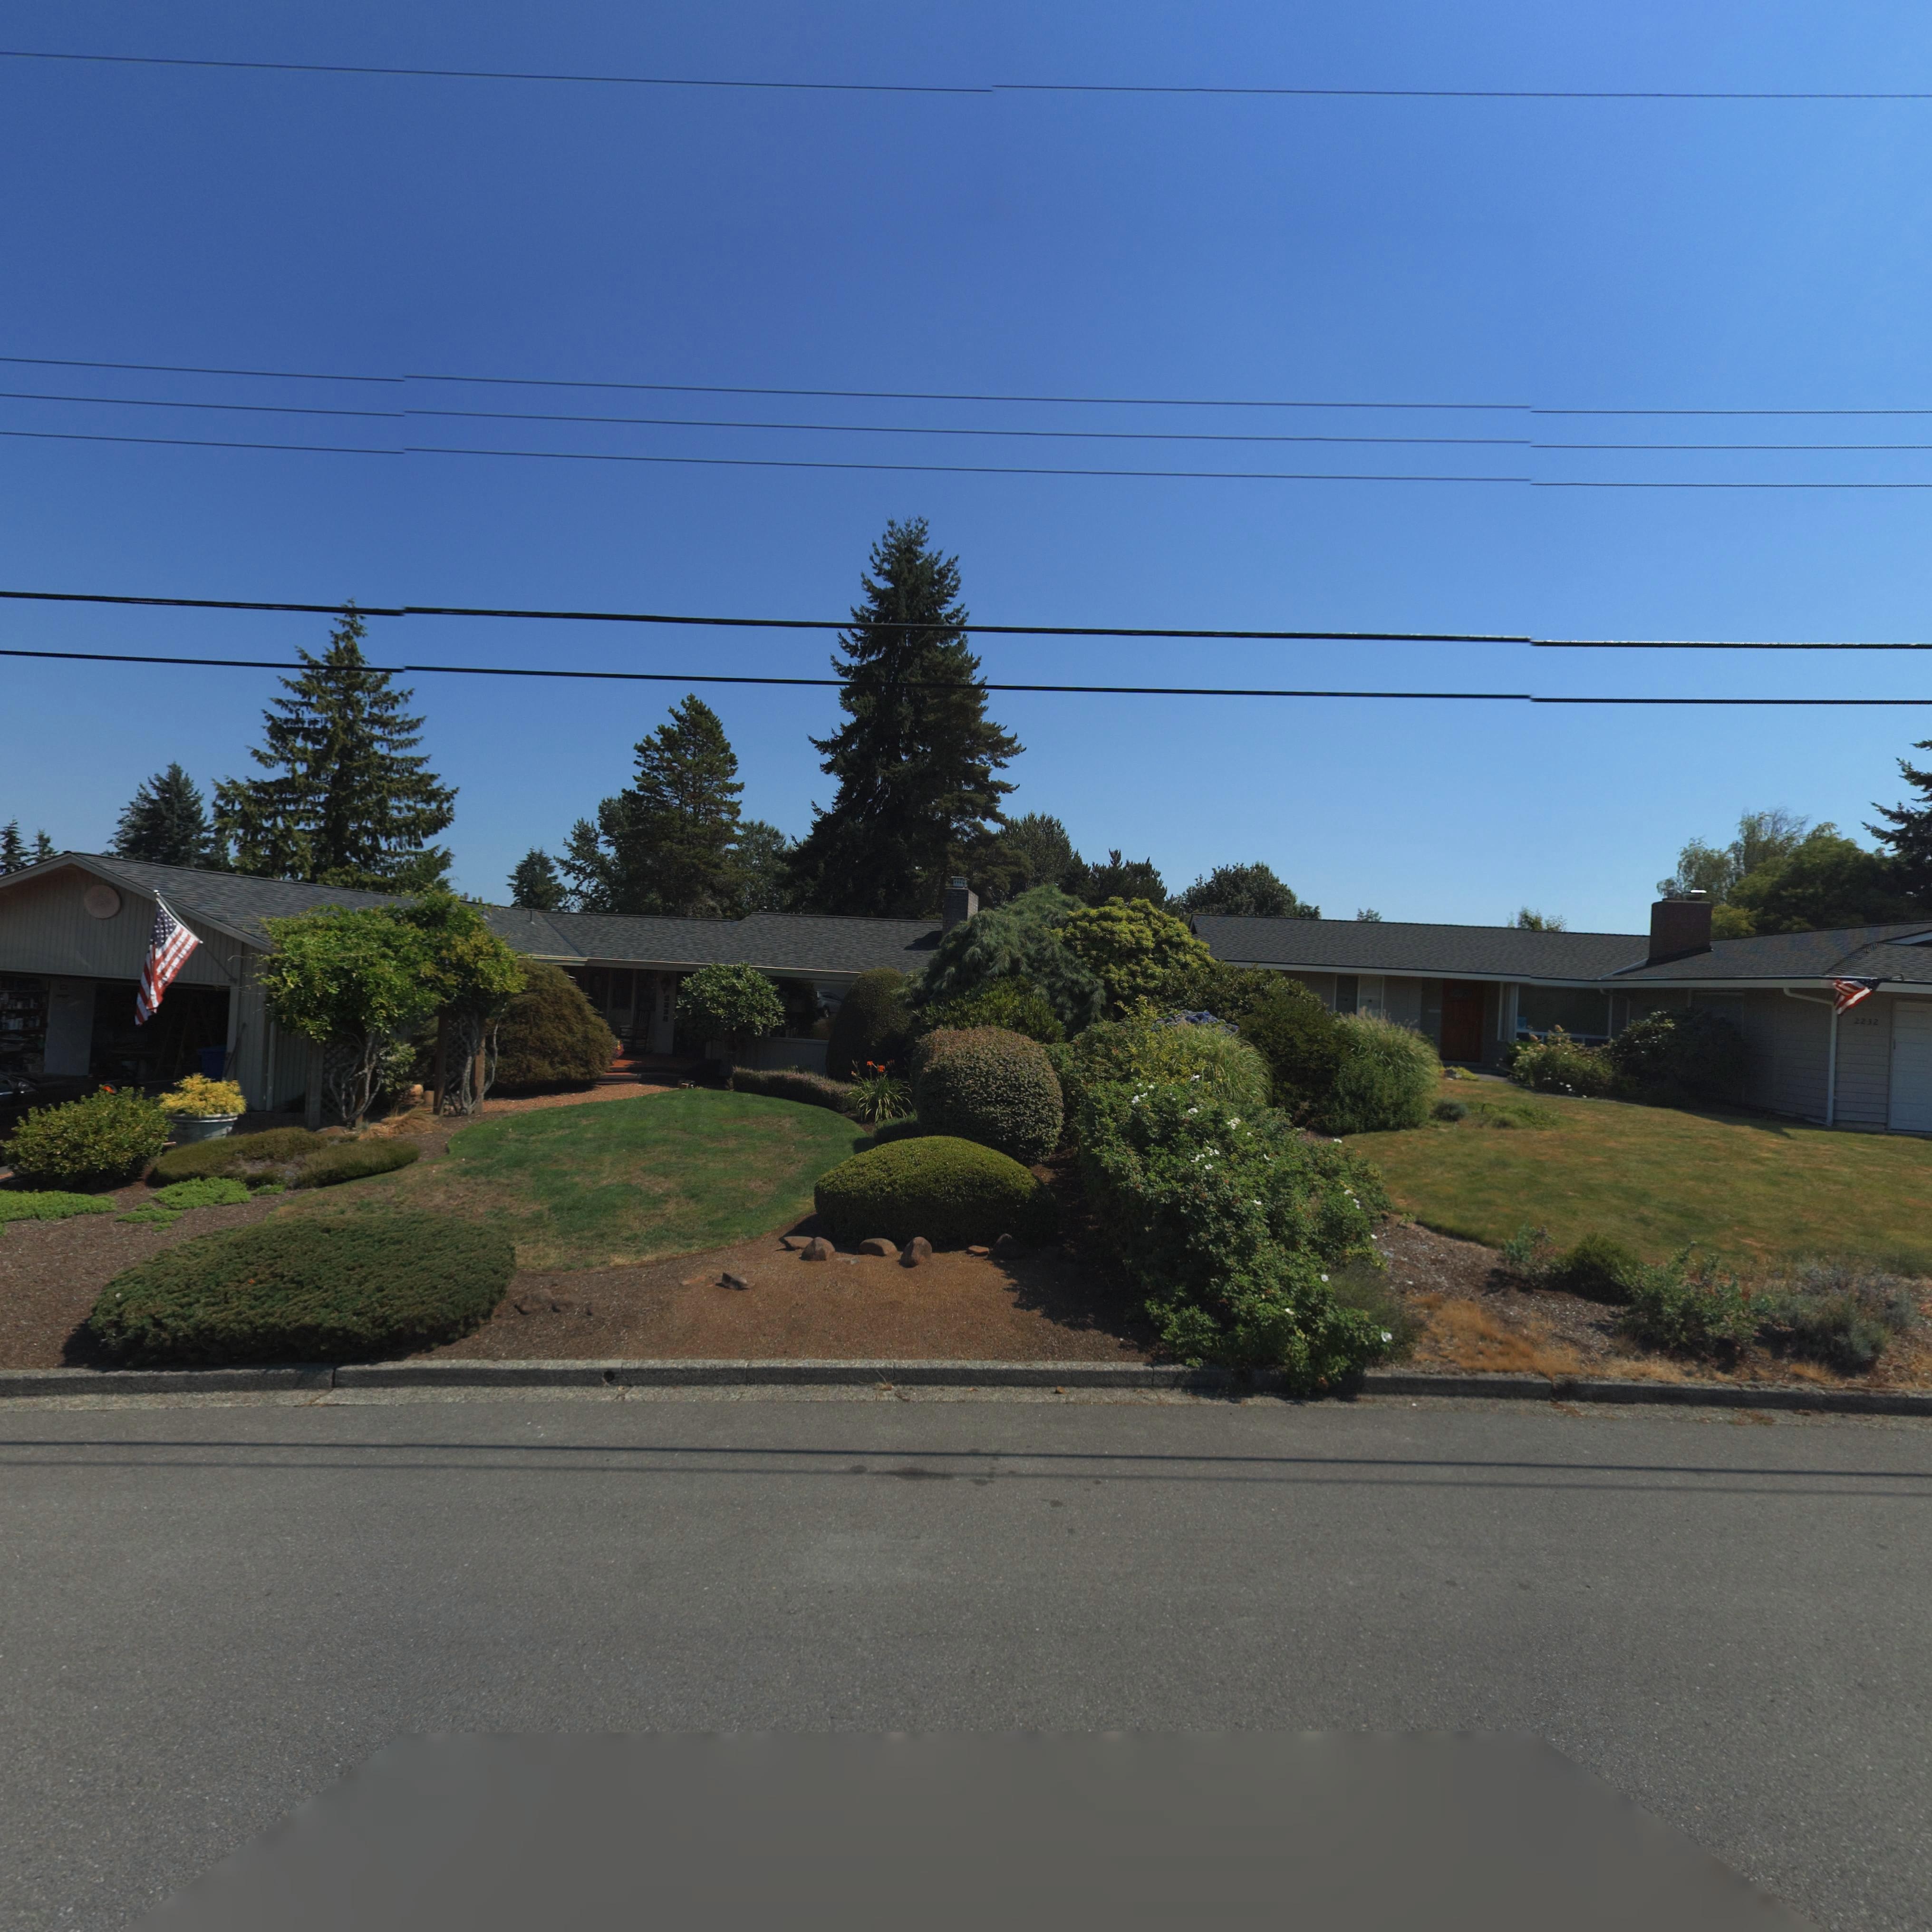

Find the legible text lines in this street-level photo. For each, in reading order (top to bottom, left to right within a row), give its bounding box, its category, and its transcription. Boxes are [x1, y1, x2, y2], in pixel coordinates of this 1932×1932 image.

[1854, 1017, 1878, 1025] StreetNumber: 2232